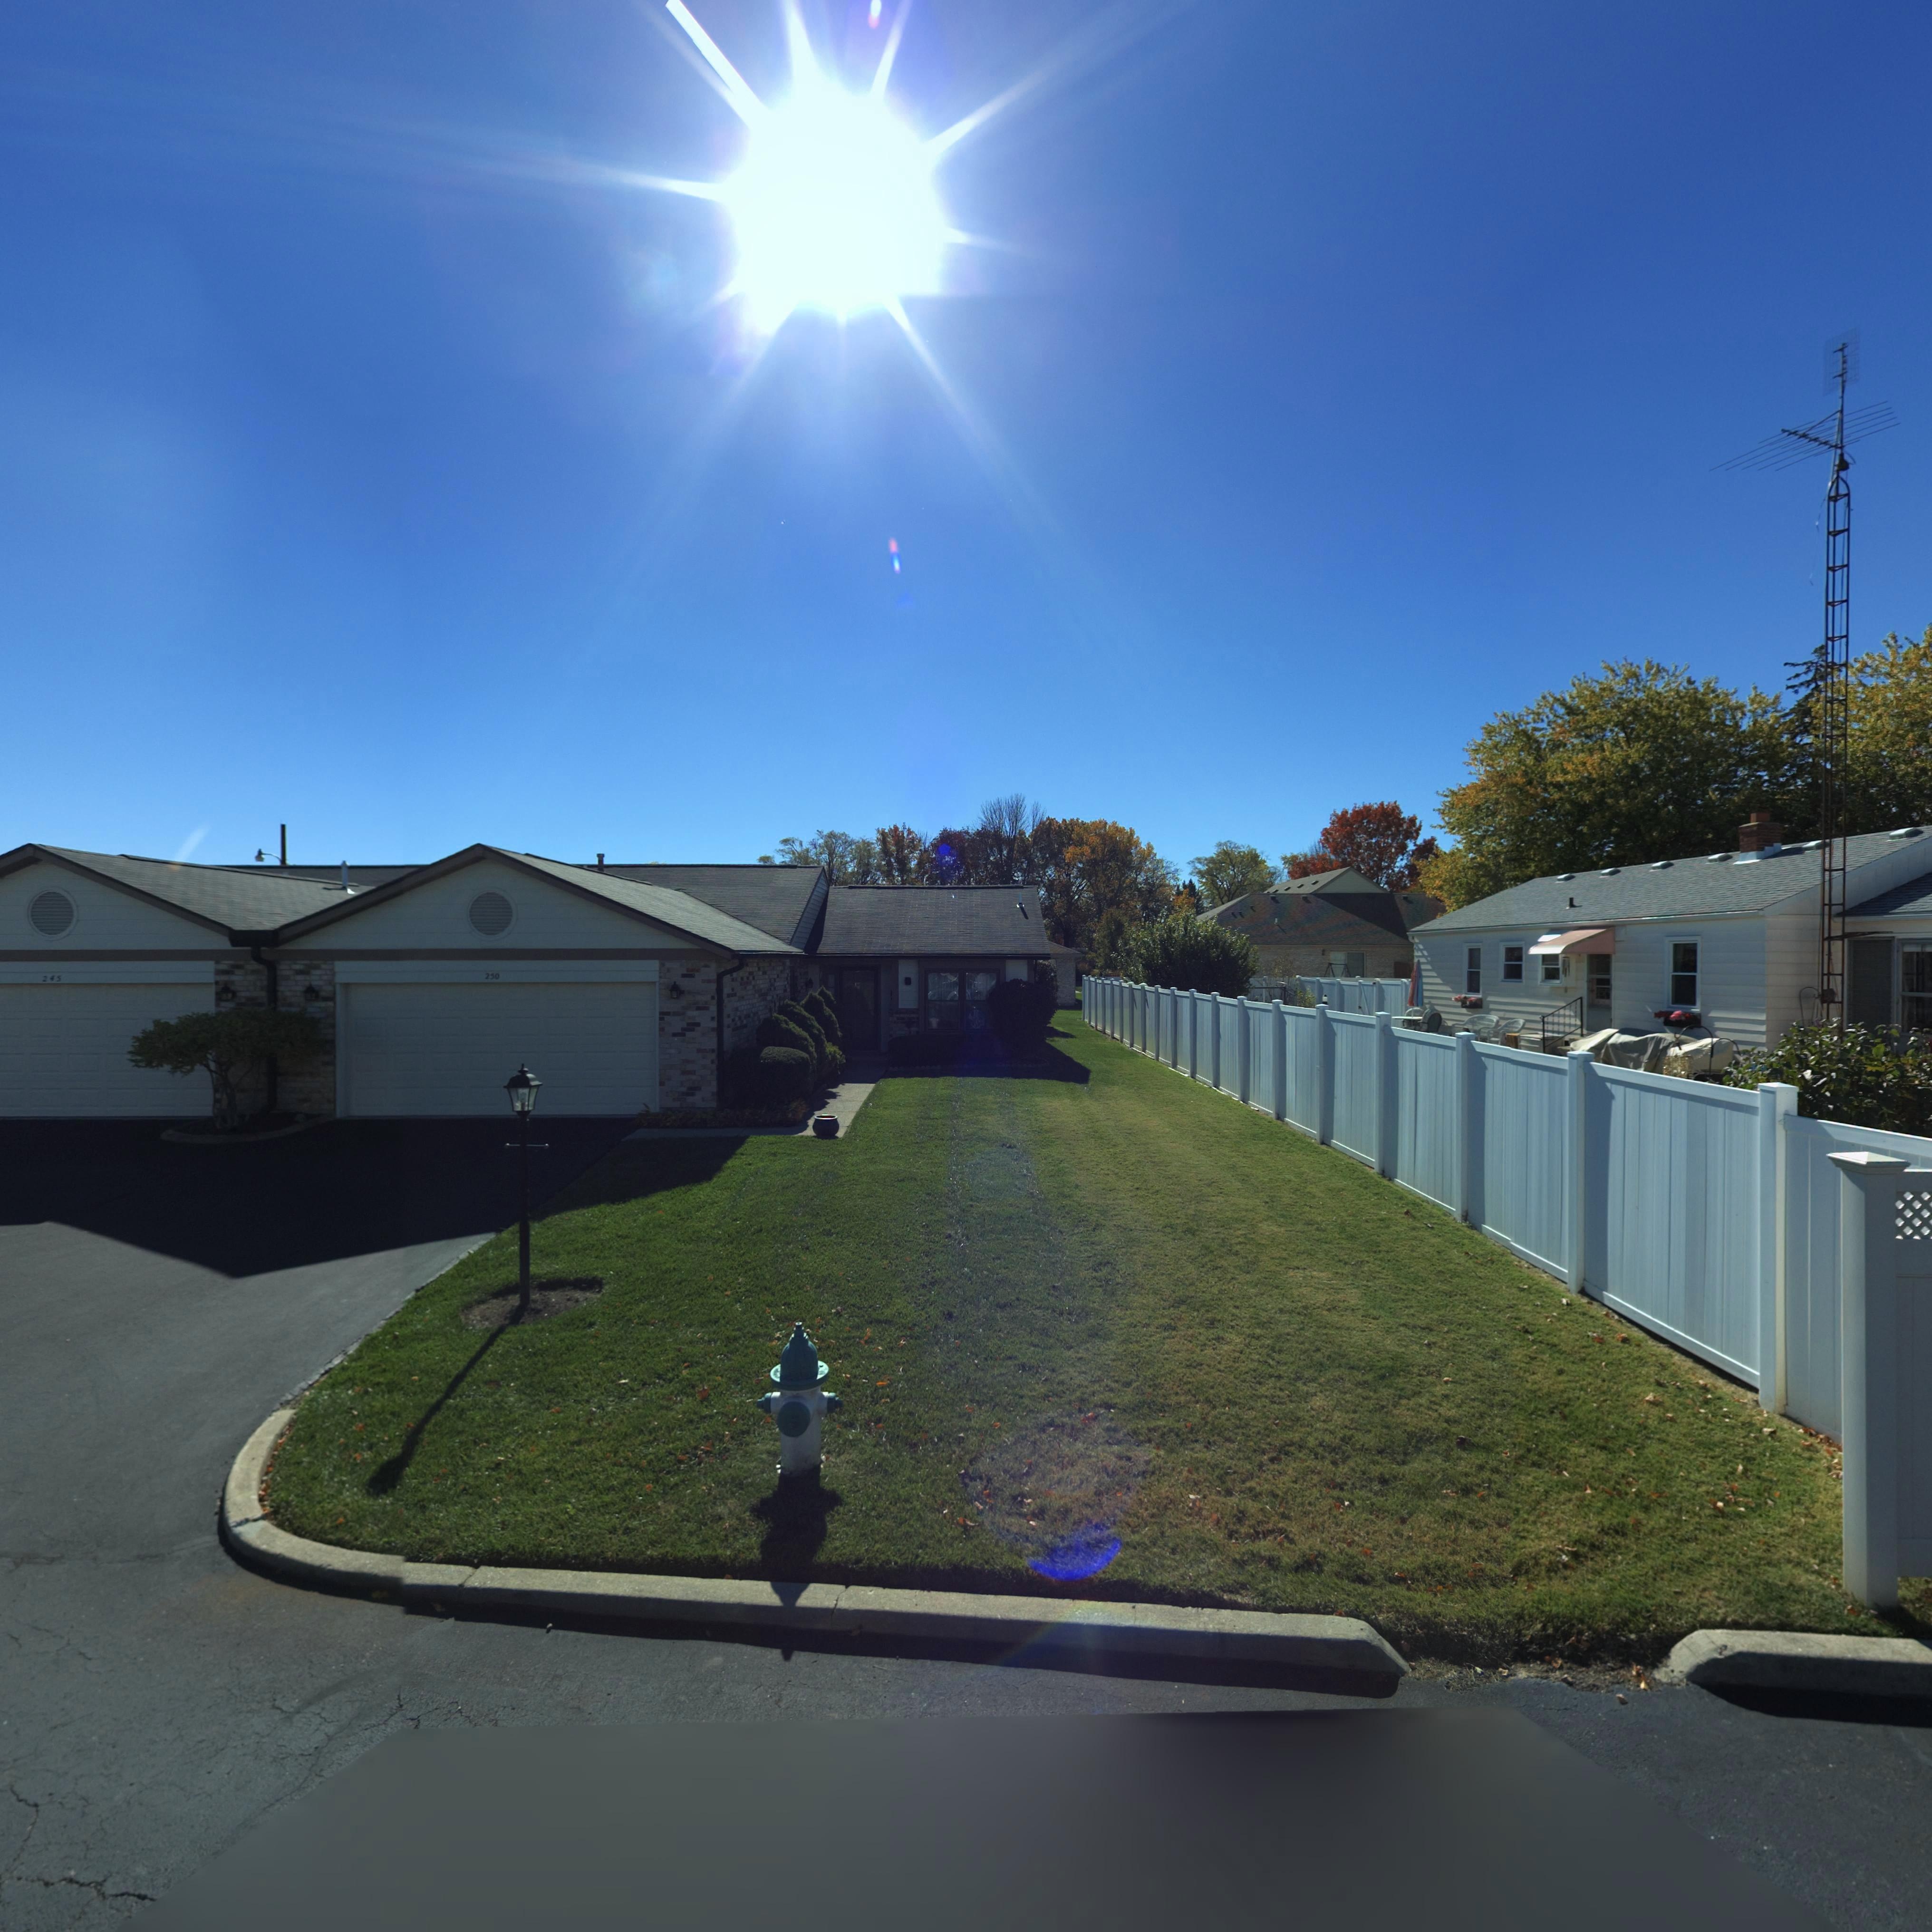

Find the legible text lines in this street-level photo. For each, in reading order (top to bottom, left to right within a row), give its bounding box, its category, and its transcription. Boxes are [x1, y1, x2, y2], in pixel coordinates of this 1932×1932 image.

[41, 975, 62, 983] StreetNumber: 245
[484, 972, 501, 981] StreetNumber: 250